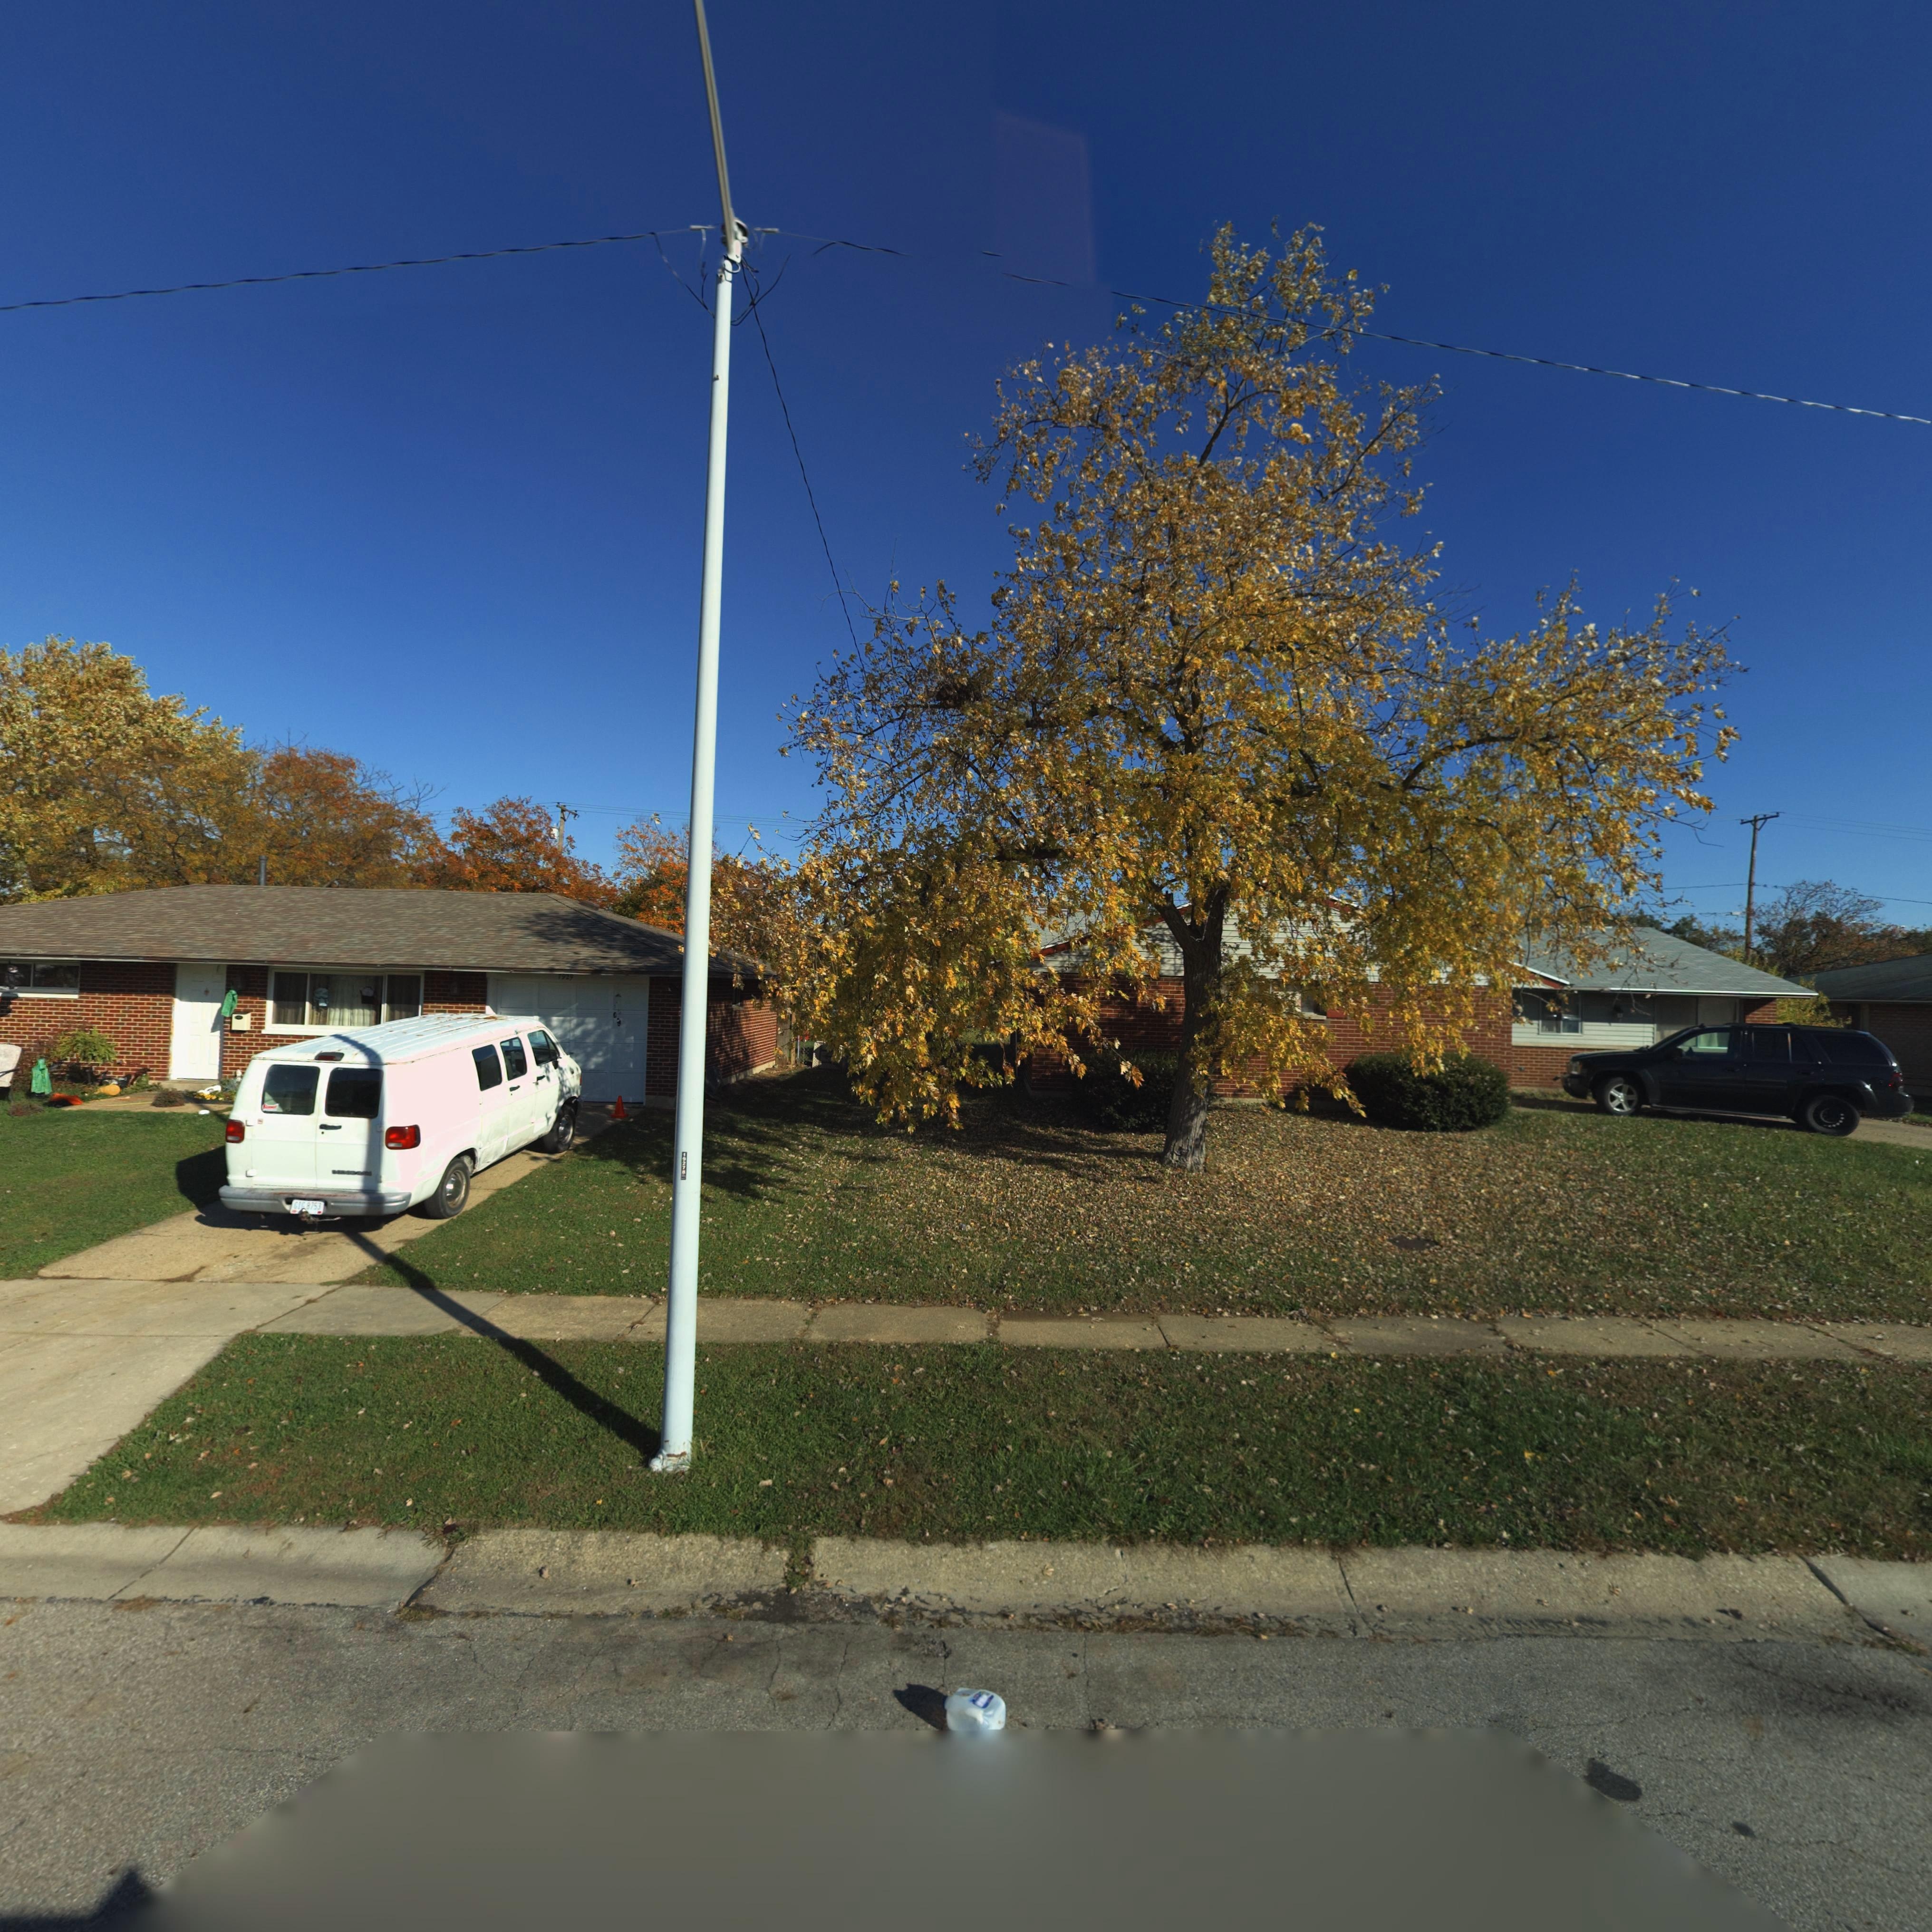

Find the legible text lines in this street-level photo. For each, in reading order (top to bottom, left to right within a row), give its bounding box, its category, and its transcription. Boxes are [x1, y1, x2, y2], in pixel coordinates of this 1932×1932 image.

[557, 973, 575, 982] StreetNumber: *929